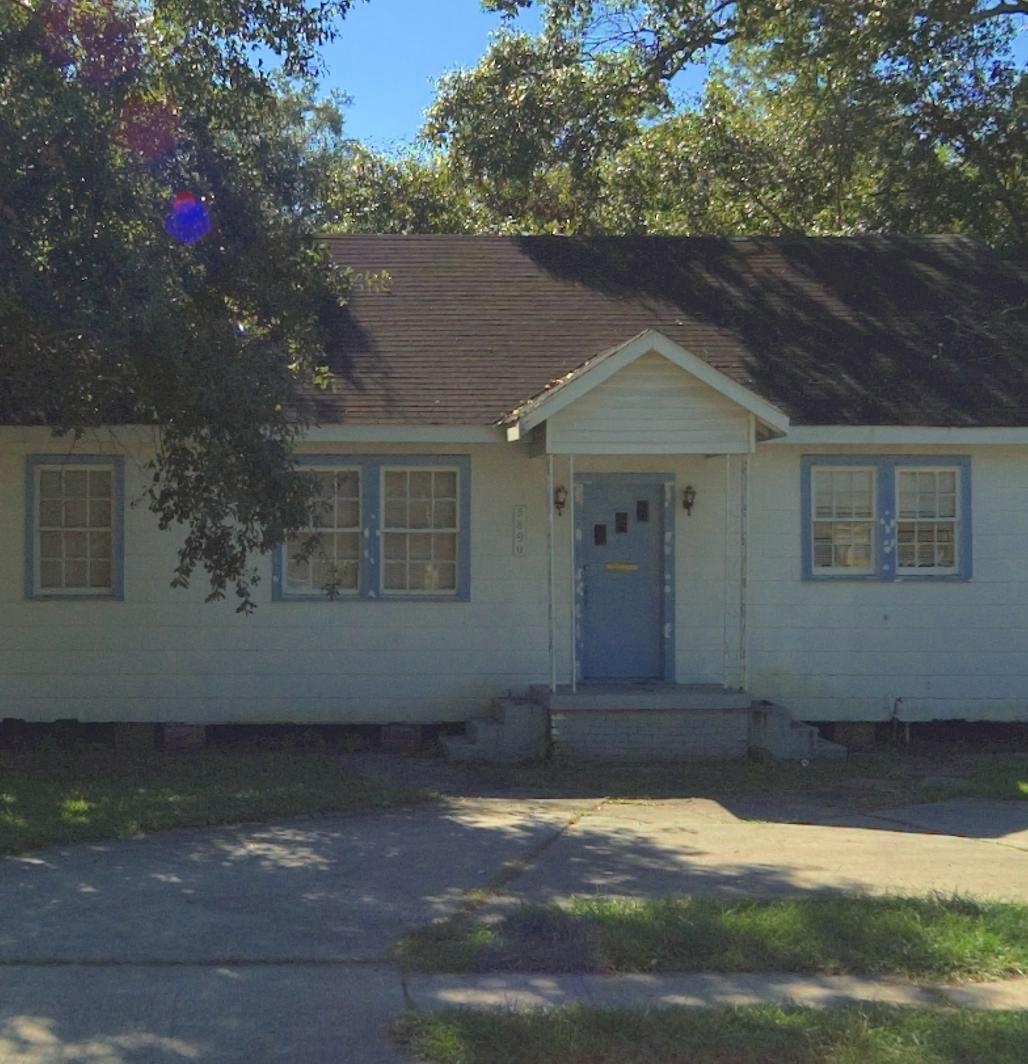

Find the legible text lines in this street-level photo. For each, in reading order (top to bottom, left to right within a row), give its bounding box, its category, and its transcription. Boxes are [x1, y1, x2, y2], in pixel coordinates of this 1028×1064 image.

[515, 507, 525, 555] StreetNumber: 3890